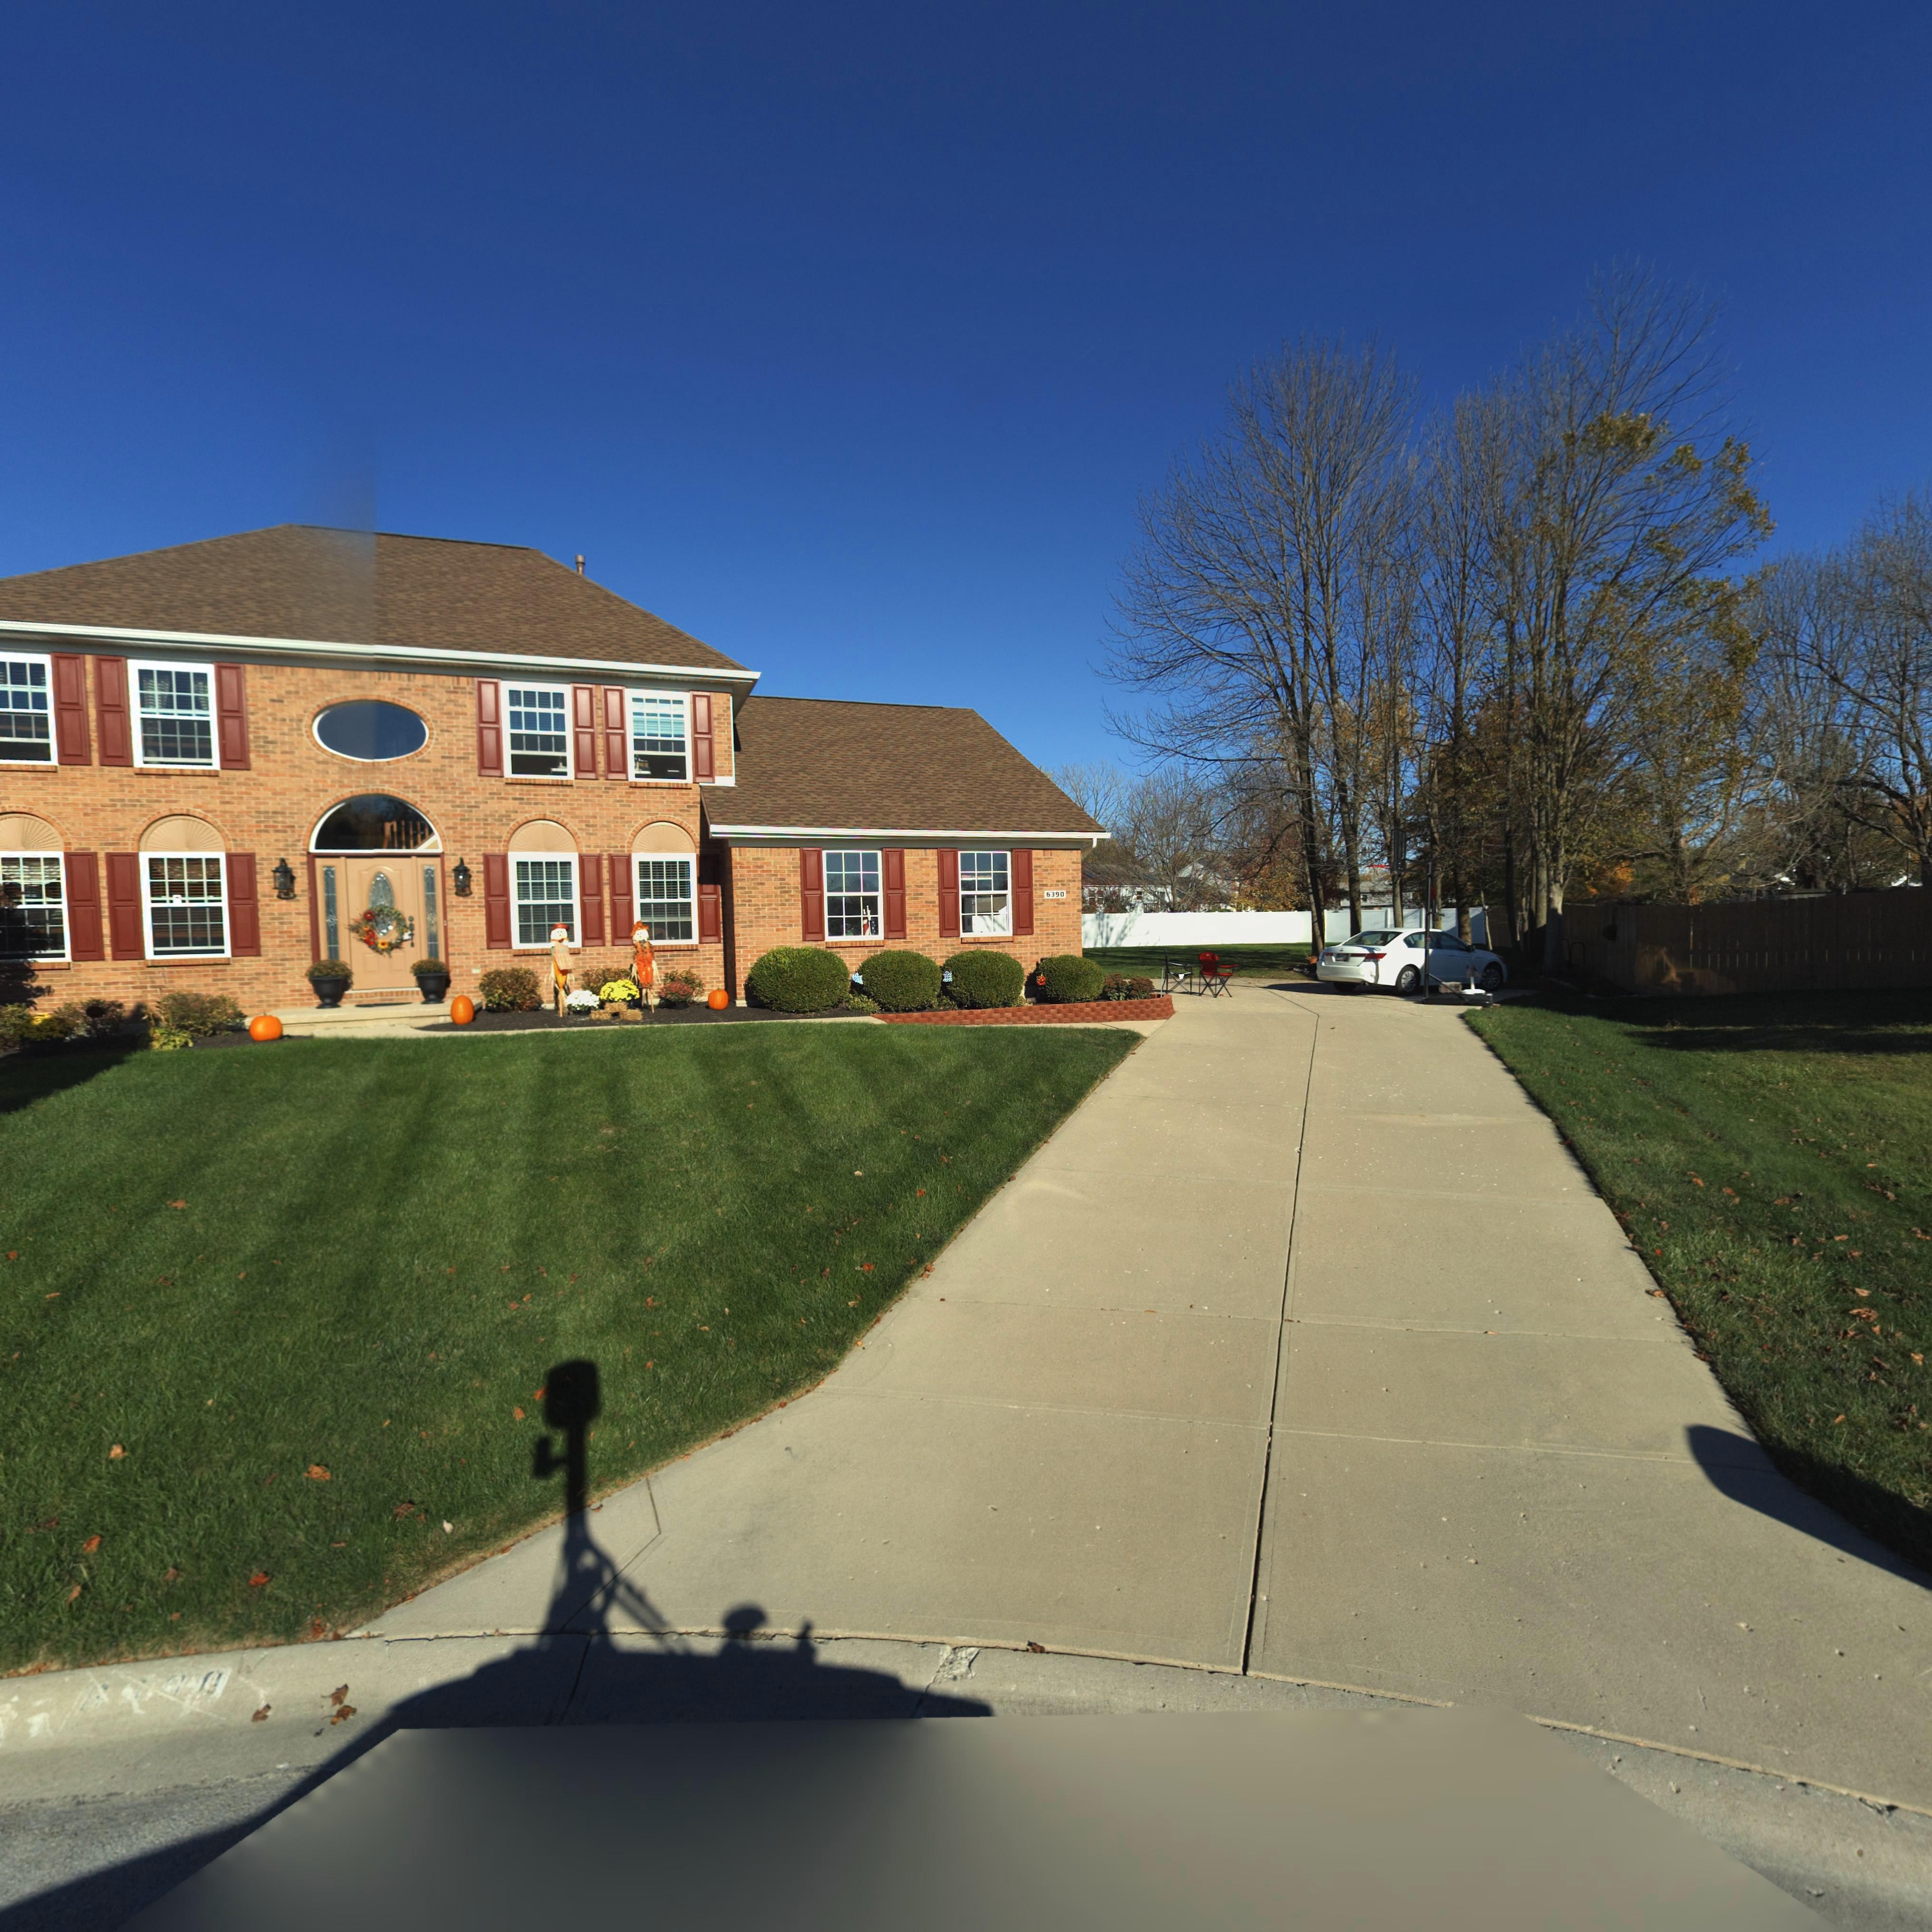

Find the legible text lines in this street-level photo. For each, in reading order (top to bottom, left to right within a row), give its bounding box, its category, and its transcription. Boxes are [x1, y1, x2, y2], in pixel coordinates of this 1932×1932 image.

[1046, 891, 1064, 897] StreetNumber: 6390
[194, 1668, 226, 1698] StreetNumber: 0